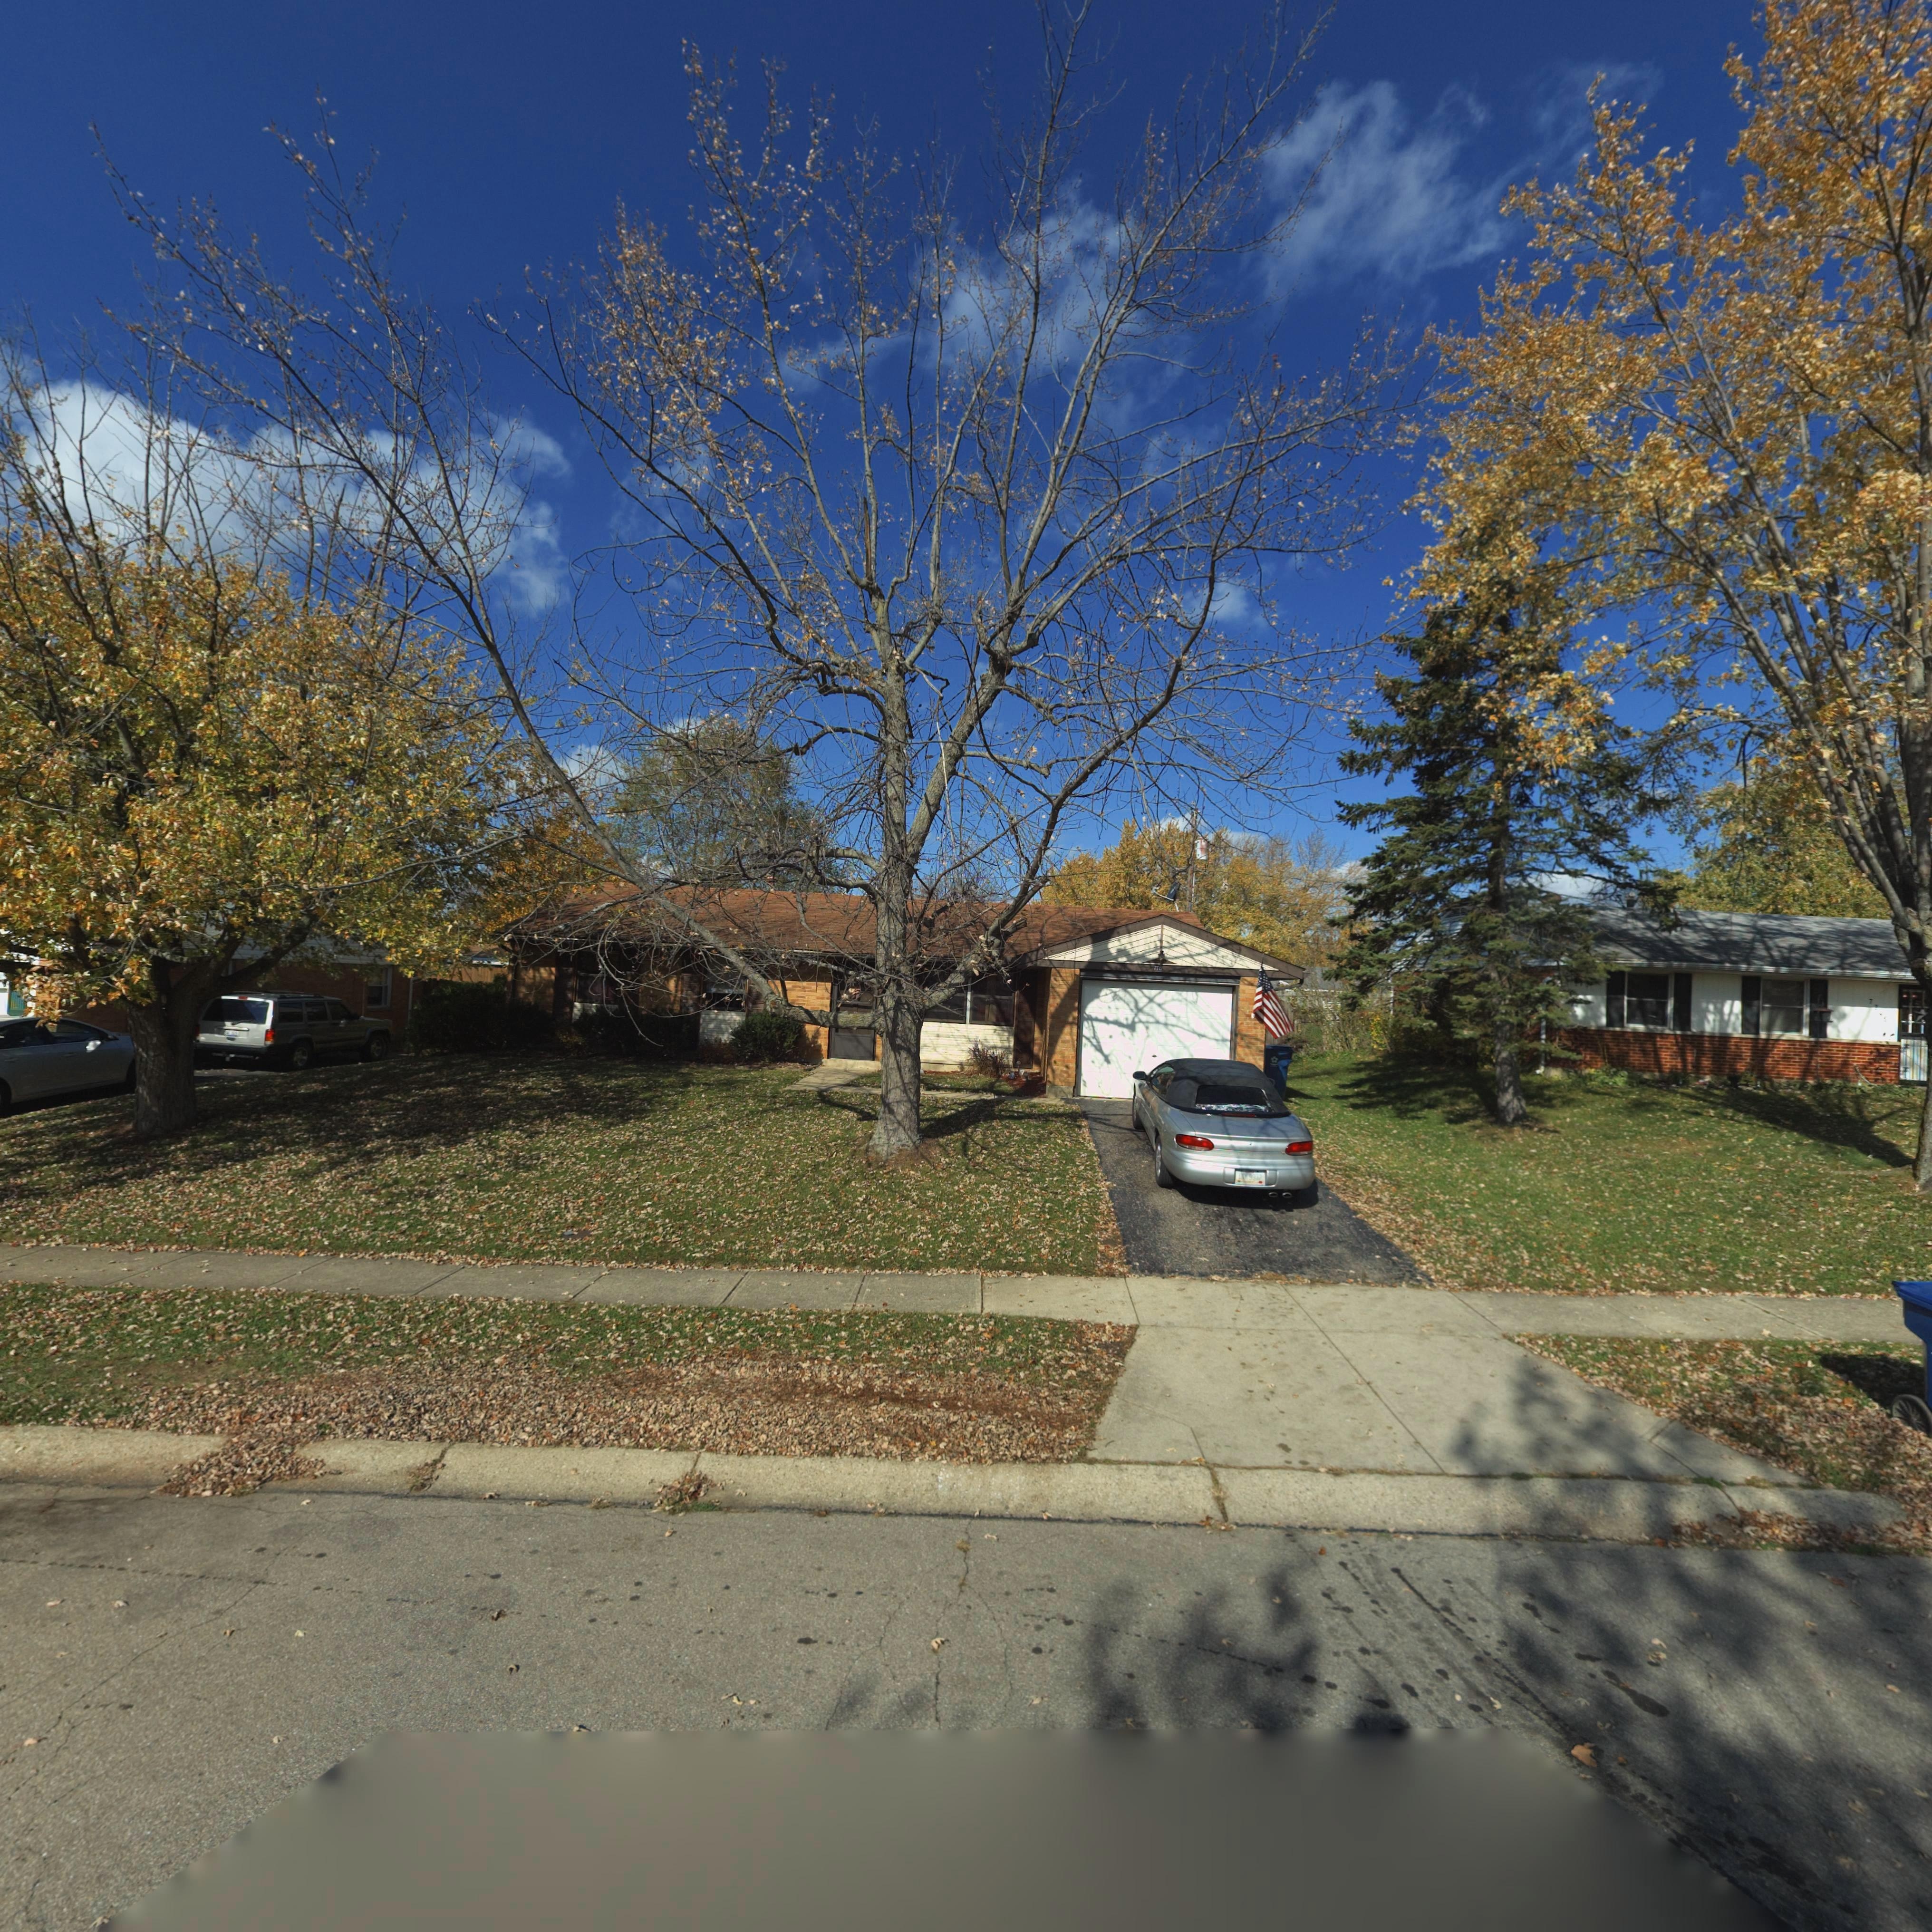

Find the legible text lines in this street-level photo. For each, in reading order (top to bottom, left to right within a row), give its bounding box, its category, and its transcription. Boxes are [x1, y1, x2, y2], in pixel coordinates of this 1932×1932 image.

[1153, 966, 1163, 971] StreetNumber: 7741
[1869, 998, 1879, 1011] StreetNumber: 77